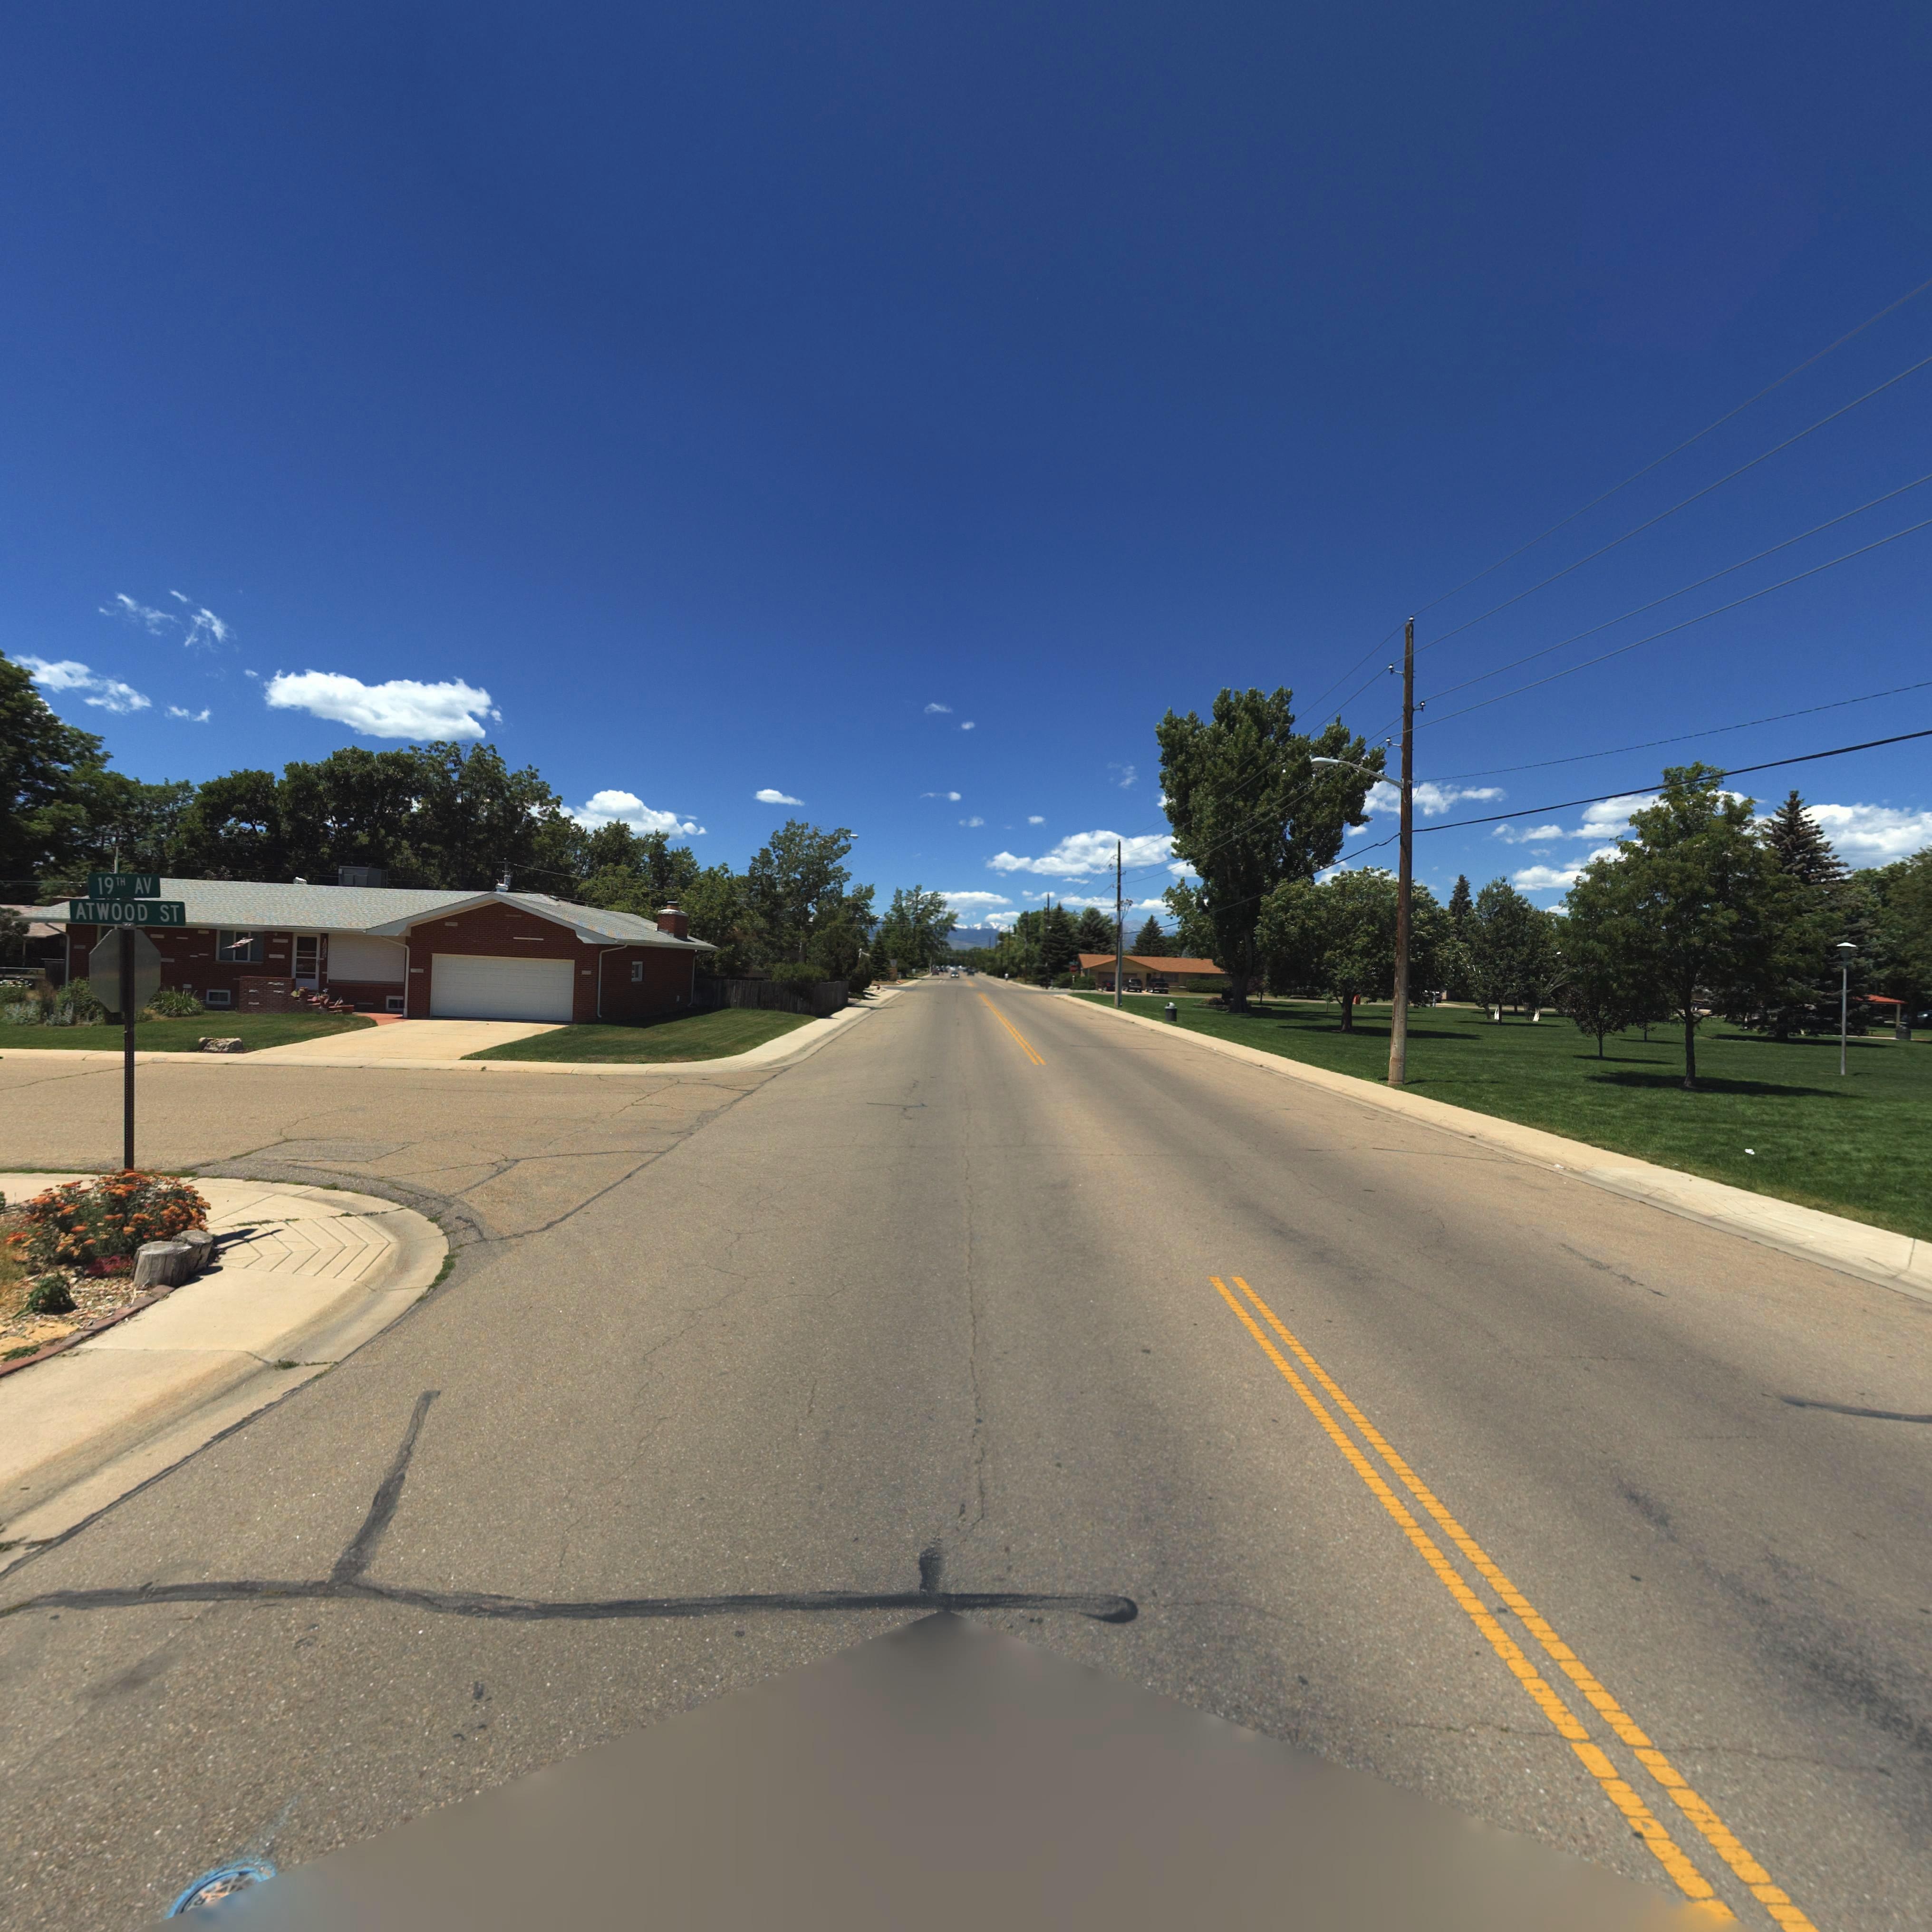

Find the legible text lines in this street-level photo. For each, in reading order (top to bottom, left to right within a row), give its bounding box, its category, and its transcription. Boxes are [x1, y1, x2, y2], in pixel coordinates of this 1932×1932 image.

[97, 877, 152, 895] StreetName: 19TH AV
[74, 901, 179, 922] StreetName: ATWOOD ST
[321, 937, 327, 958] StreetNumber: 1895